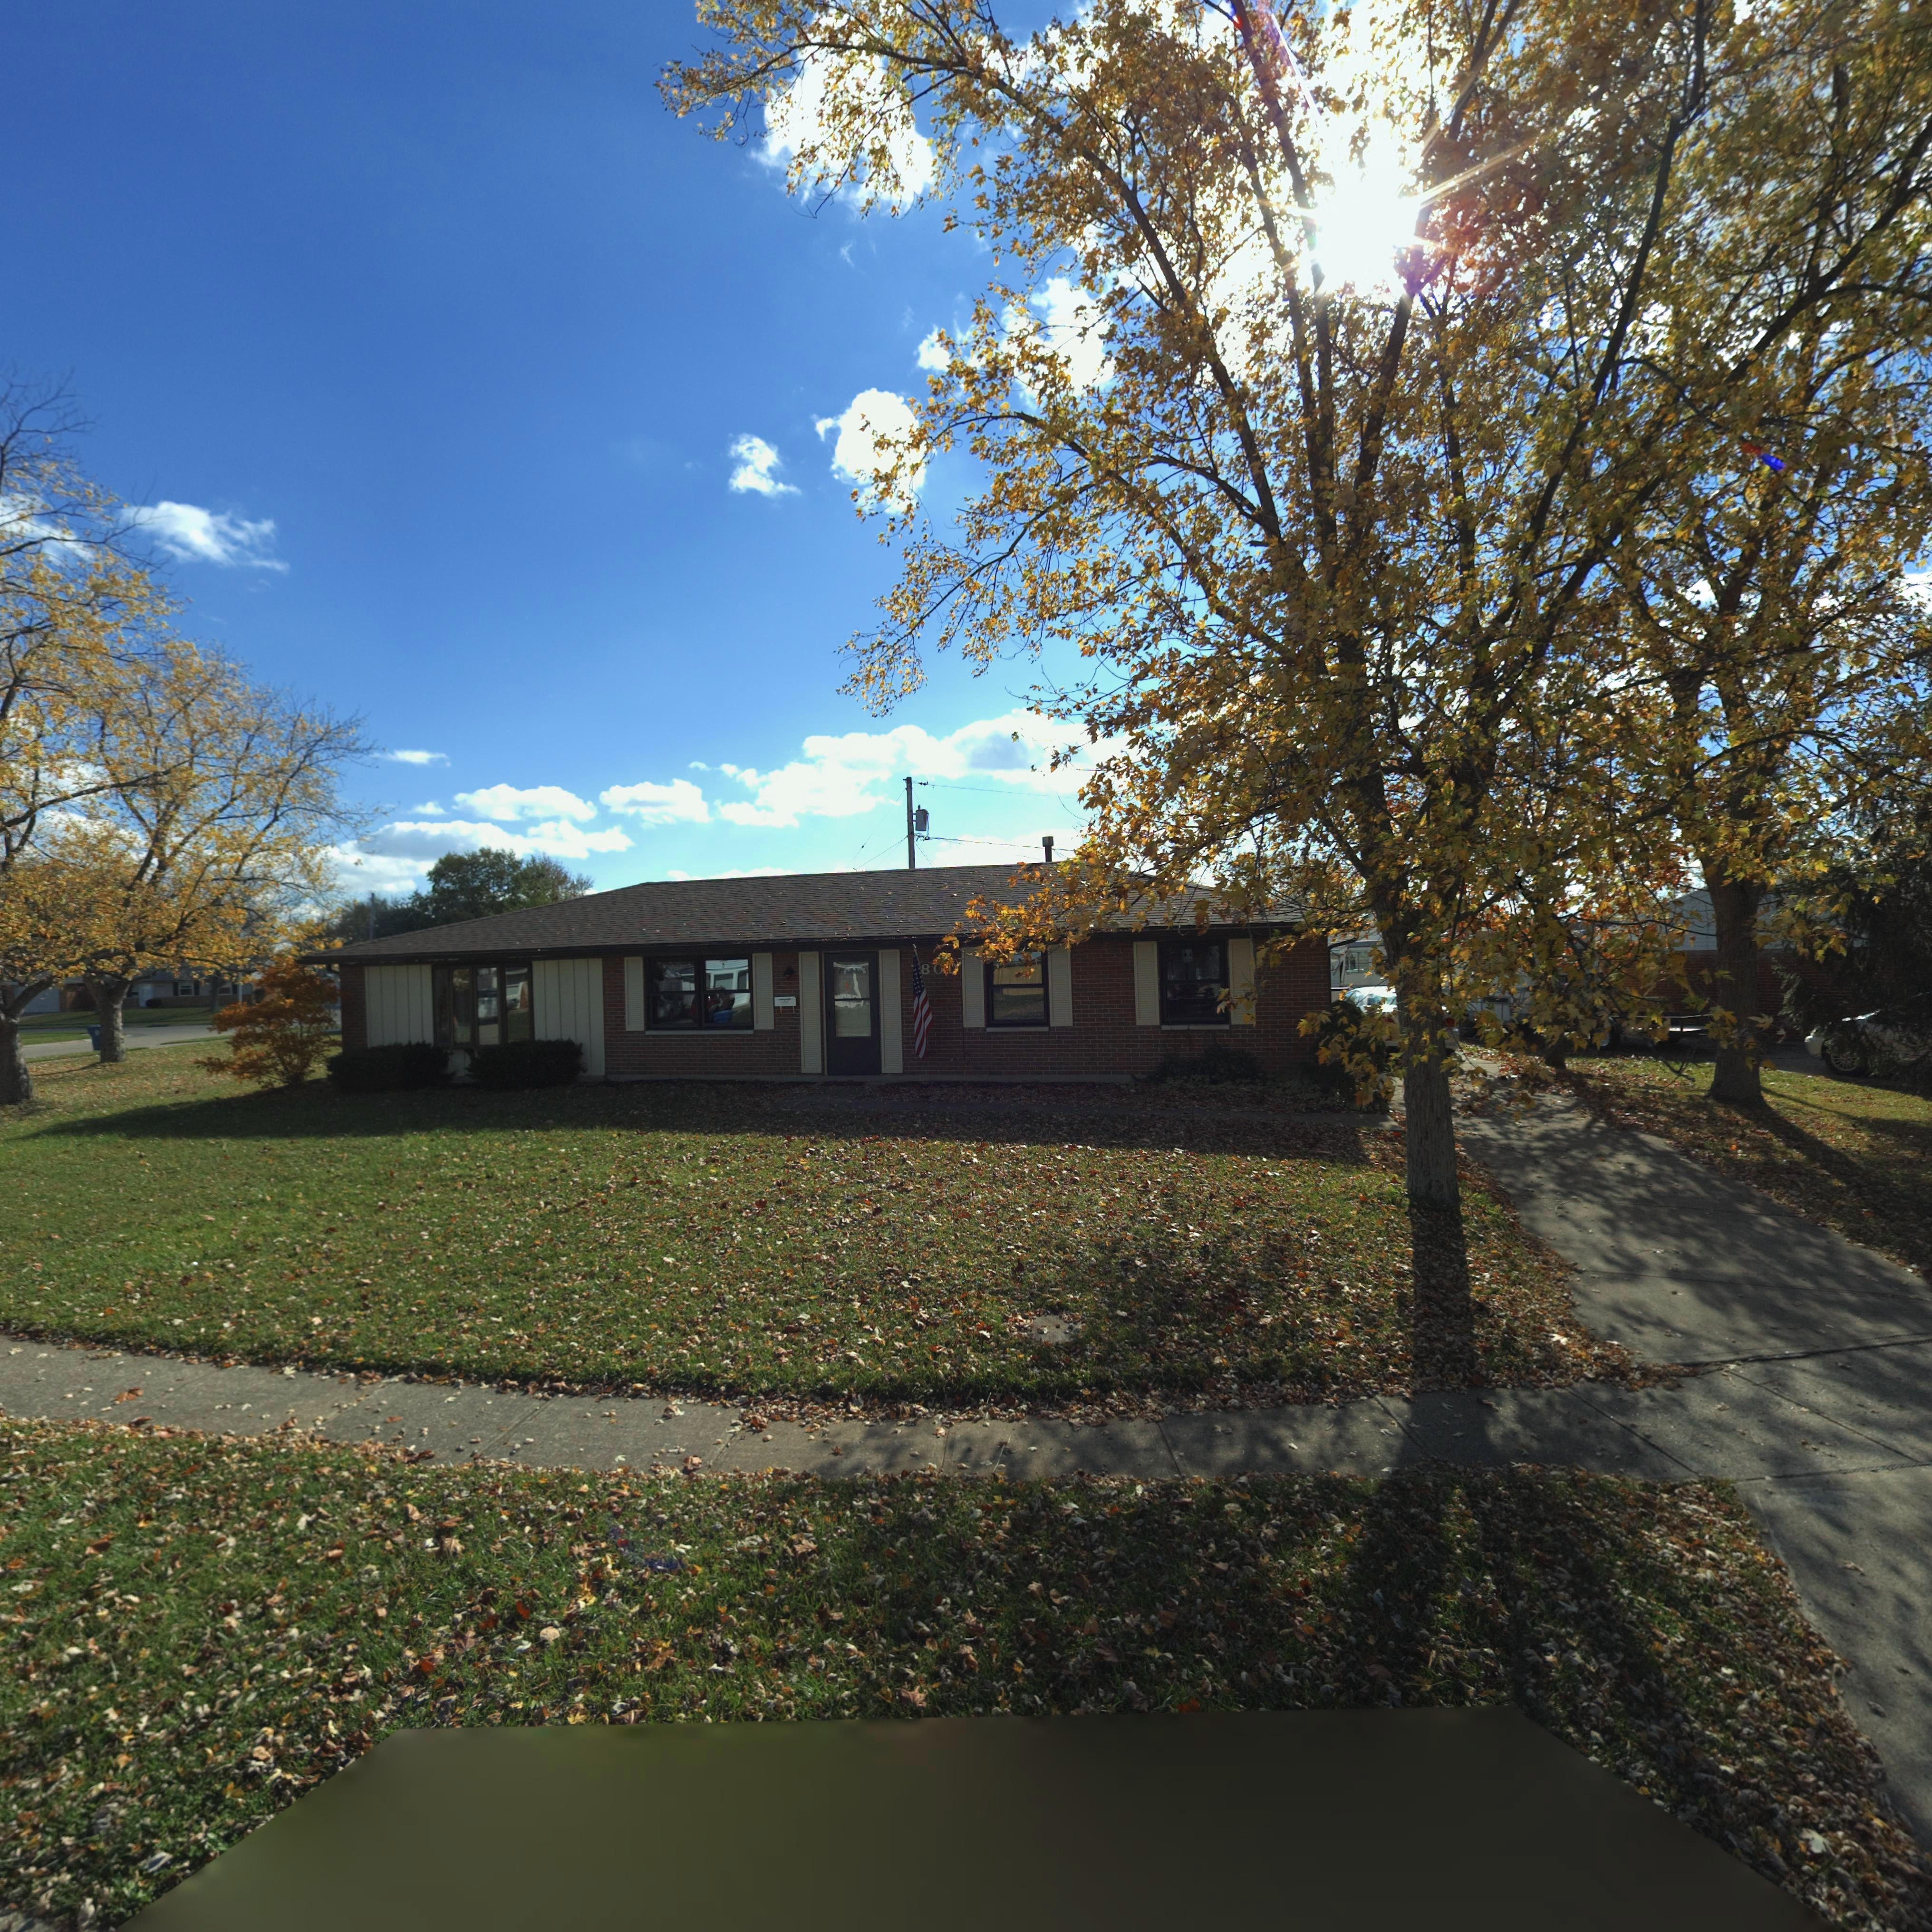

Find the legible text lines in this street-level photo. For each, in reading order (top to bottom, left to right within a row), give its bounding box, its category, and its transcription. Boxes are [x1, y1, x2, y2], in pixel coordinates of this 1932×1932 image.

[920, 963, 944, 975] StreetNumber: 80